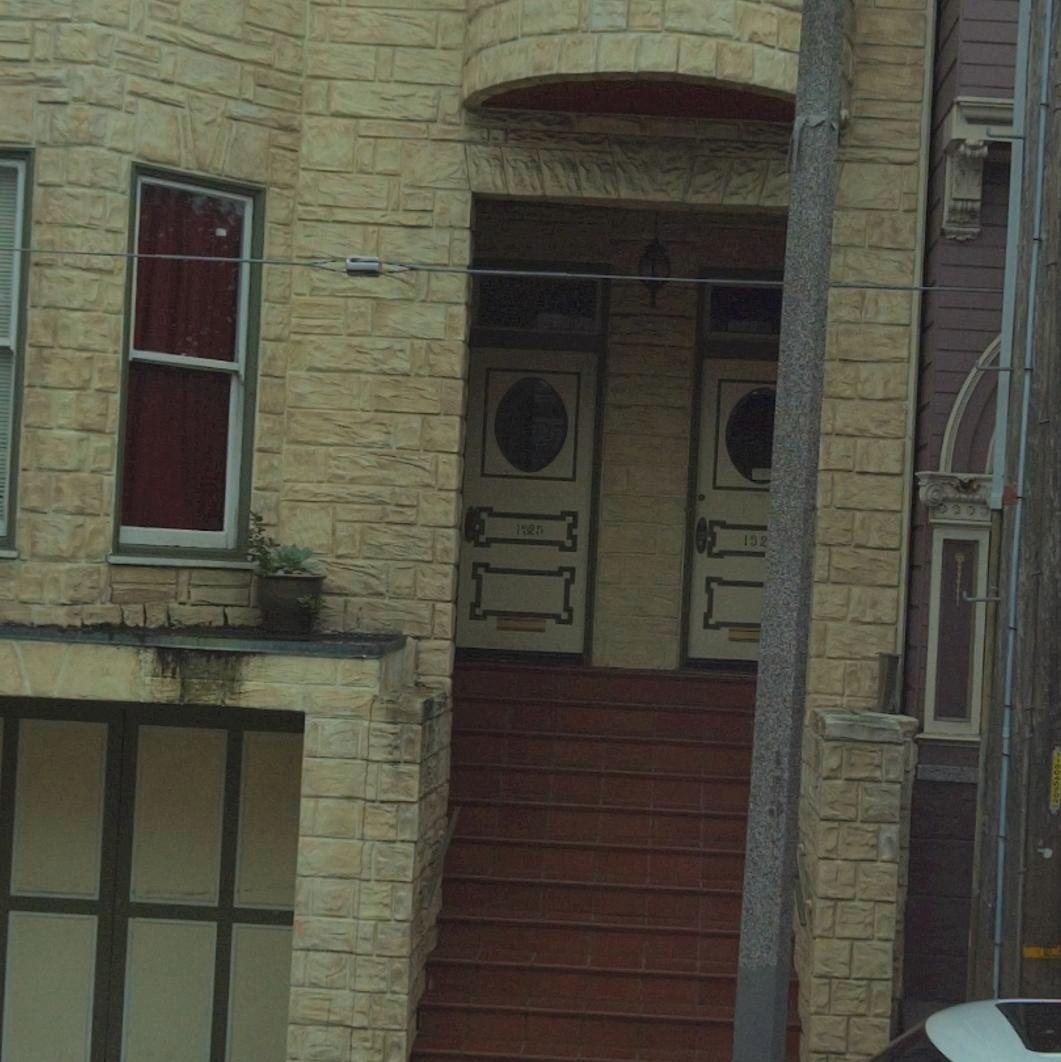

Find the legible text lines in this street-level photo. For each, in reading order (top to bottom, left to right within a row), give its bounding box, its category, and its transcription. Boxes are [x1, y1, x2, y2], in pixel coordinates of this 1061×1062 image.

[516, 523, 545, 537] StreetNumber: 1525
[744, 534, 769, 548] StreetNumber: 152